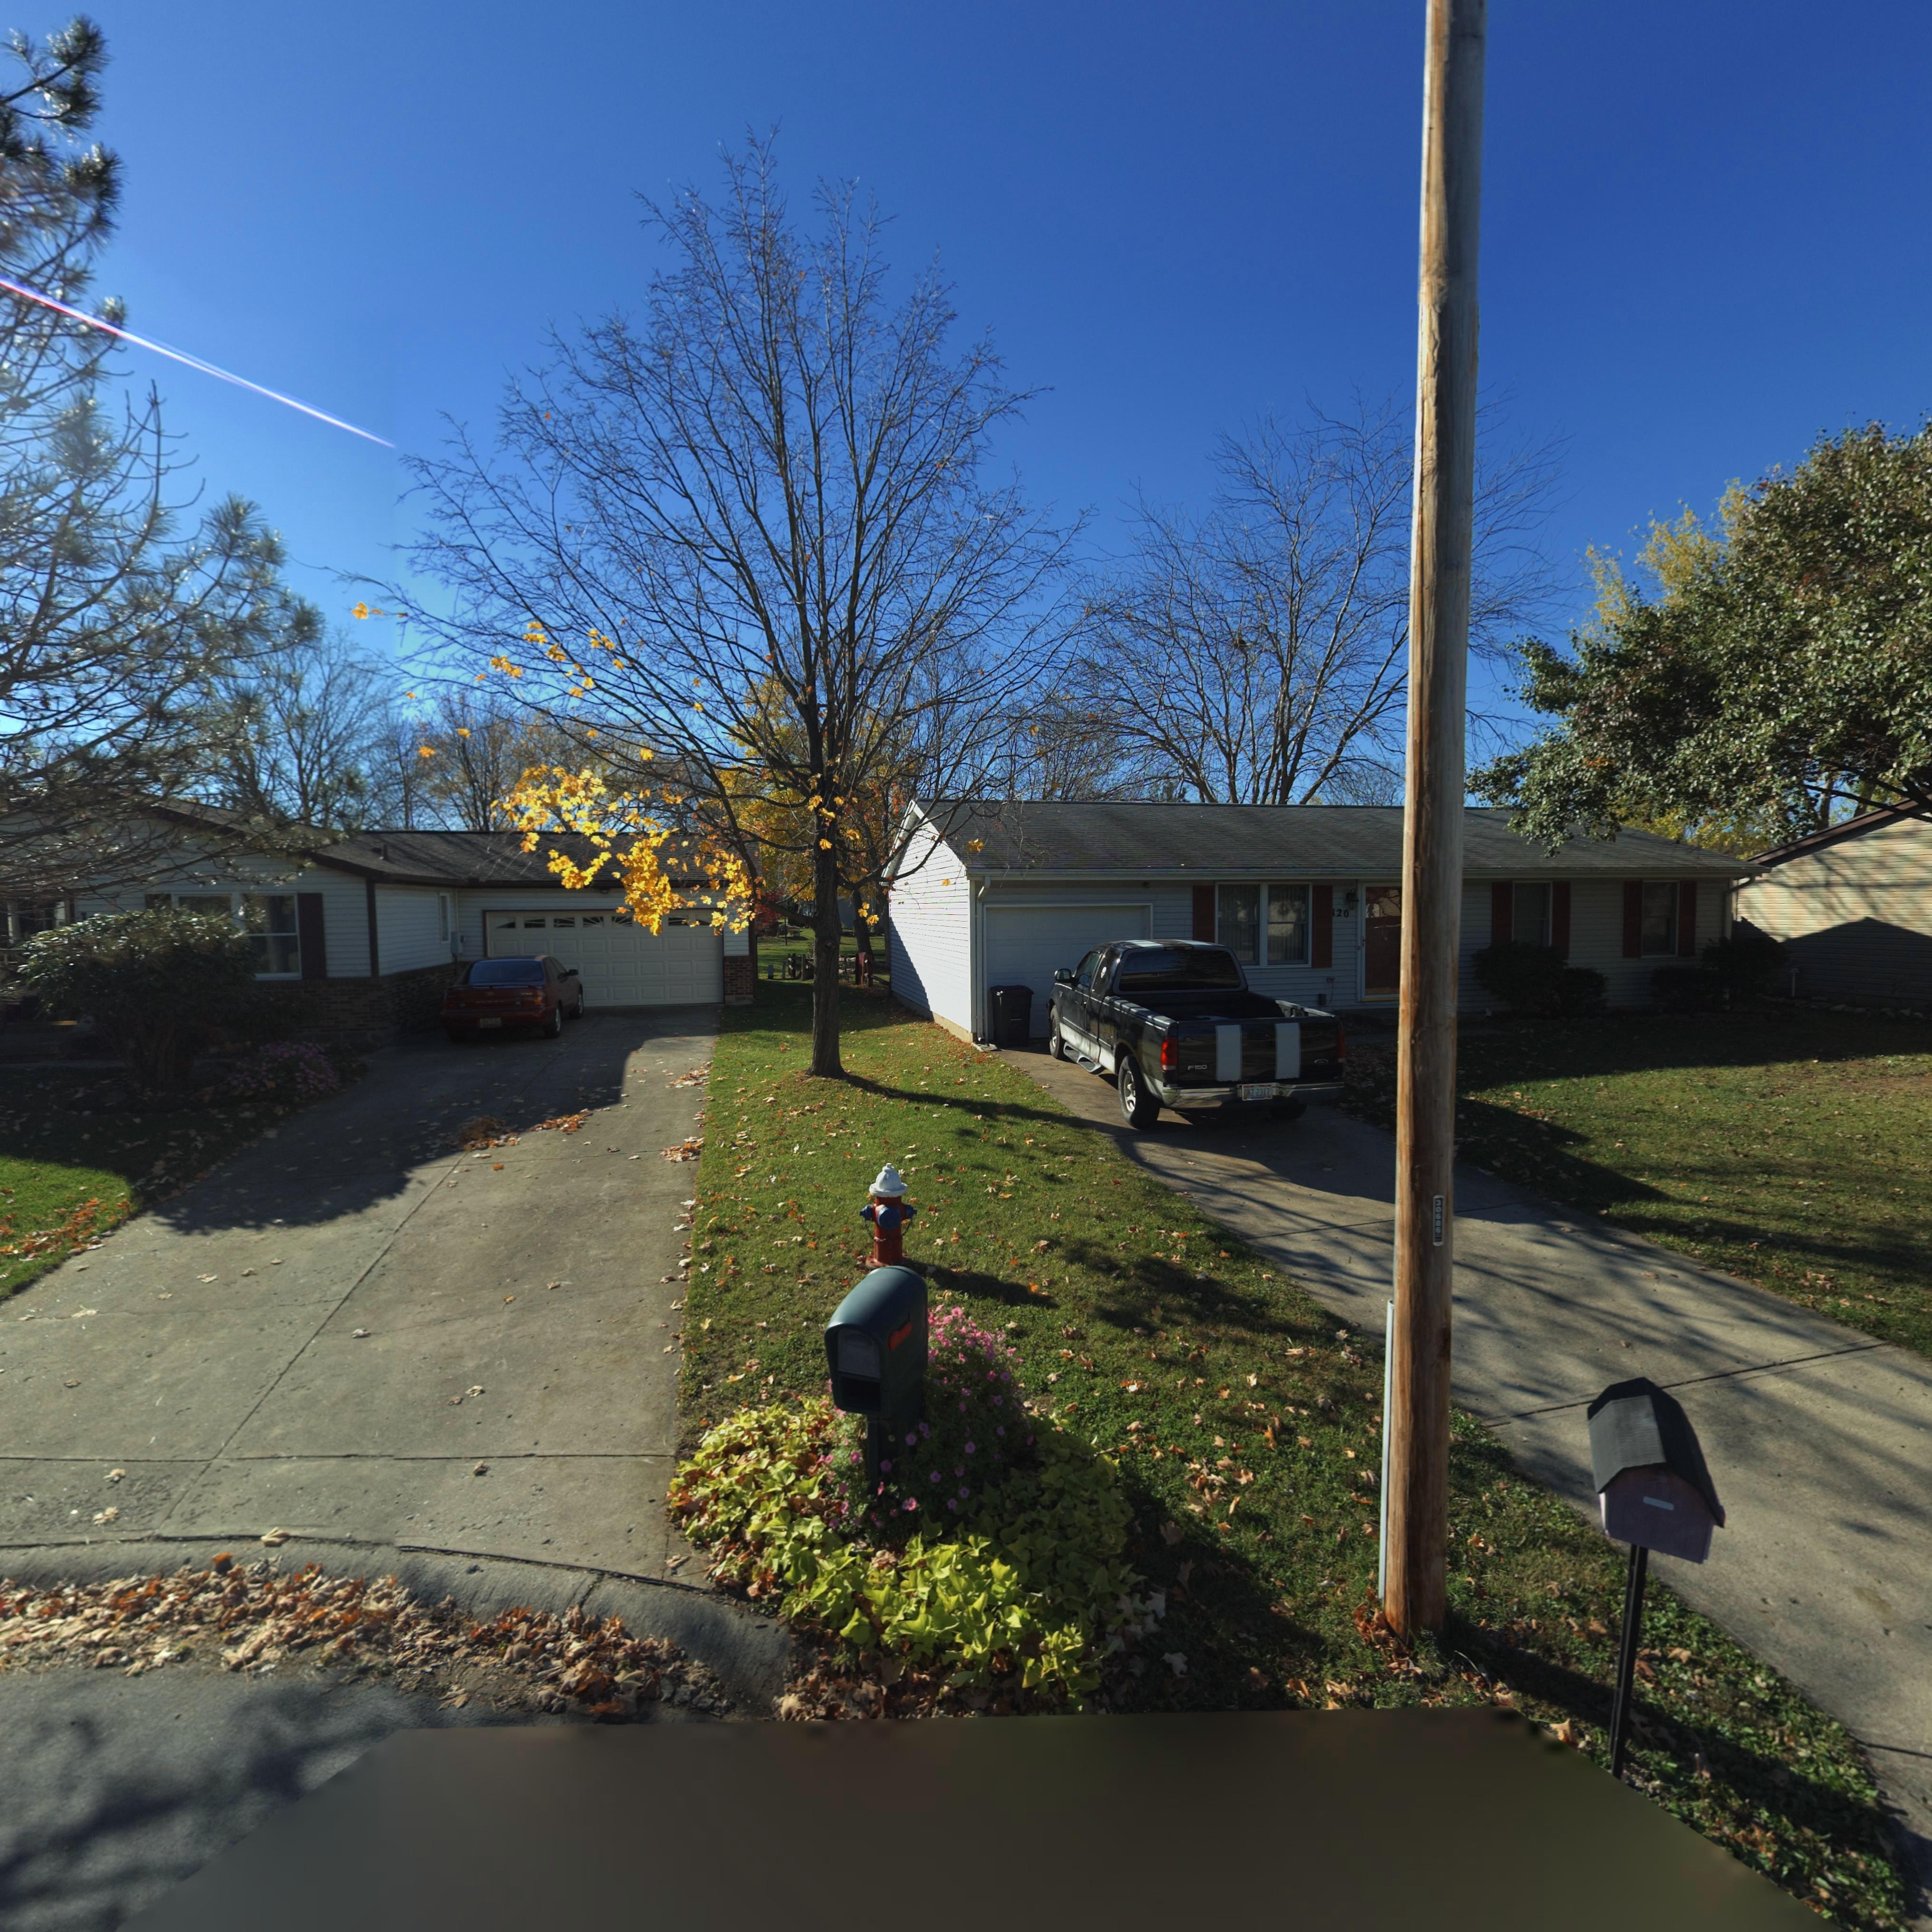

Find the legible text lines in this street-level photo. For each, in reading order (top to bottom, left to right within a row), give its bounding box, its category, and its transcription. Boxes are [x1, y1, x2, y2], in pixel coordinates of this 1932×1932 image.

[1332, 908, 1349, 918] StreetNumber: 120